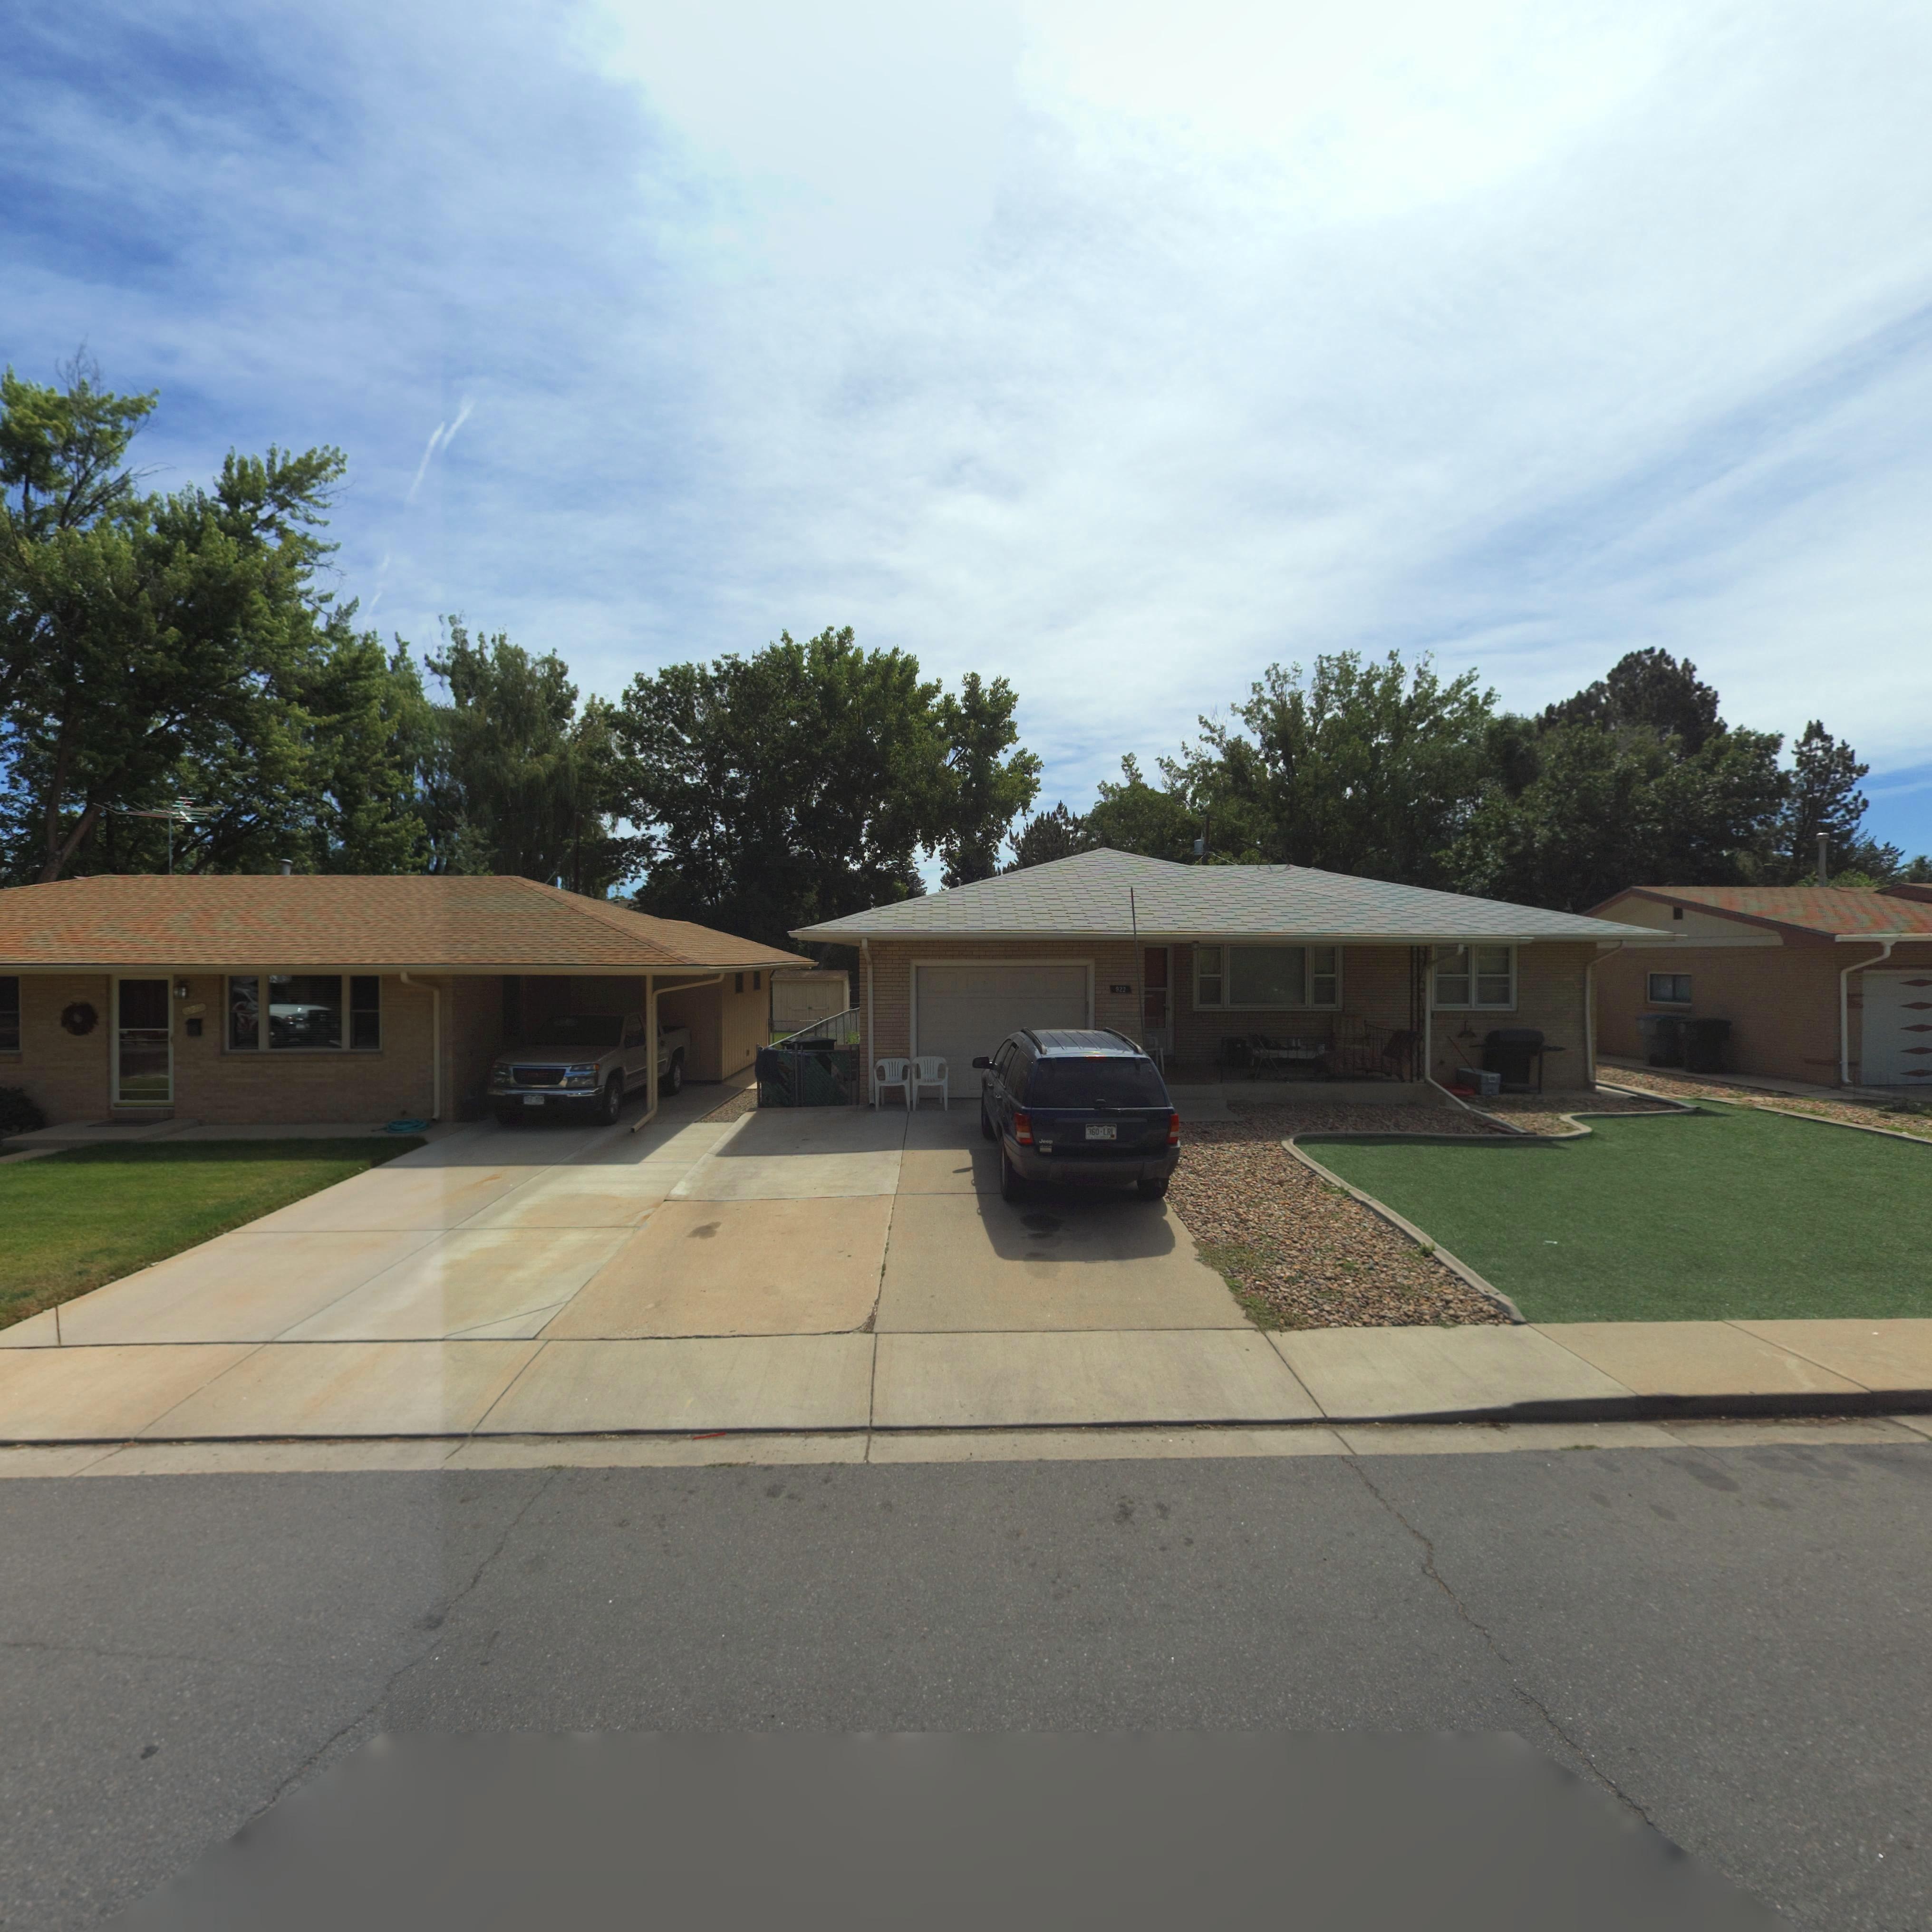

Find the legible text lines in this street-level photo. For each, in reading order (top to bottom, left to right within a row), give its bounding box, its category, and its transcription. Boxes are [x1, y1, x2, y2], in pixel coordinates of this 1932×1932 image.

[1115, 985, 1126, 993] StreetNumber: 923
[186, 1003, 203, 1015] StreetNumber: 9**